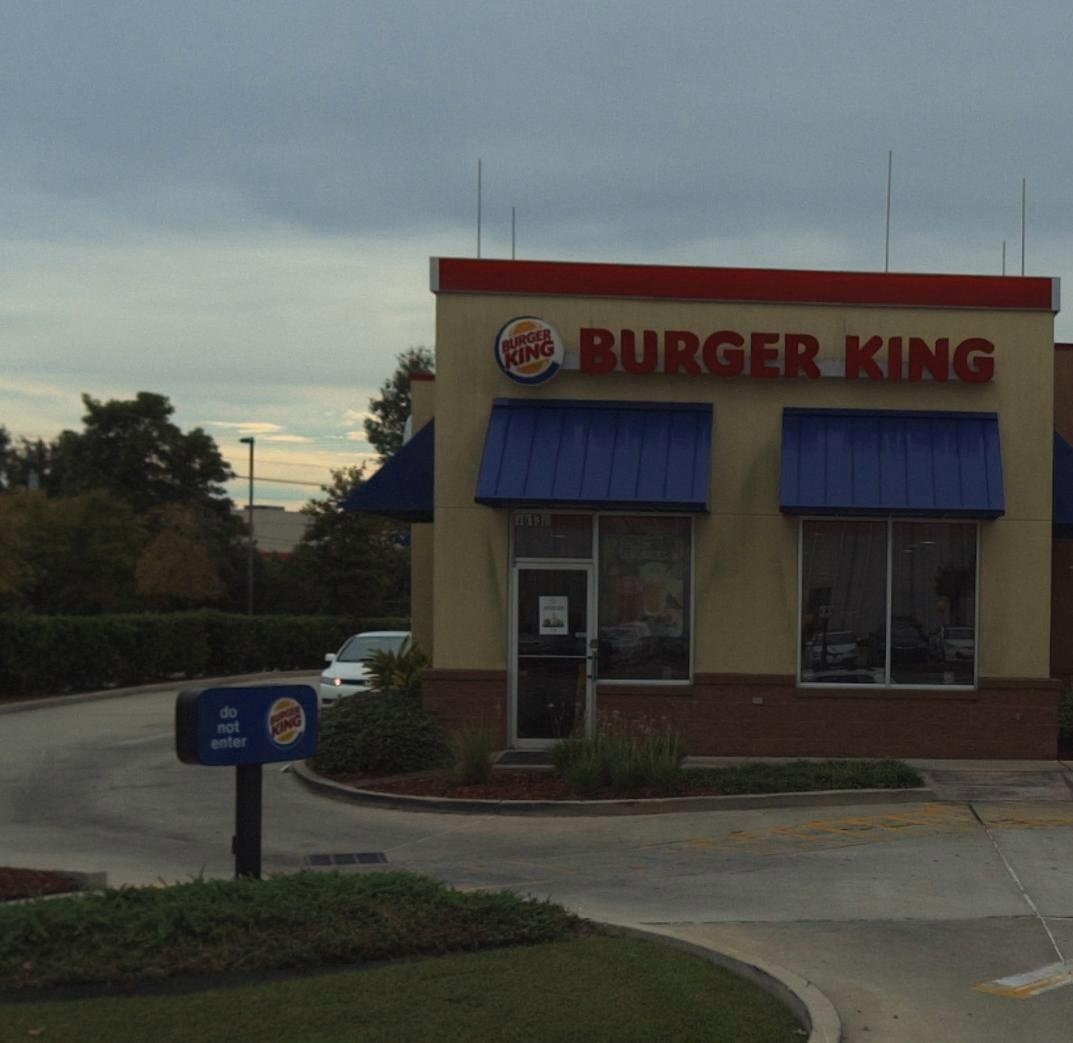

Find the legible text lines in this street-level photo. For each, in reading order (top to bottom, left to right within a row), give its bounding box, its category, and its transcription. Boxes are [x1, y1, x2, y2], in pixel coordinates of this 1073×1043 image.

[501, 328, 551, 352] BusinessName: BURGER
[505, 339, 554, 370] BusinessName: KING
[579, 326, 996, 385] BusinessName: BURGER KING
[516, 514, 550, 526] StreetNumber: 10130
[219, 703, 239, 719] None: do
[269, 705, 301, 725] BusinessName: BURGER
[216, 719, 241, 734] None: not
[270, 713, 302, 739] BusinessName: KING
[210, 735, 248, 750] None: enter